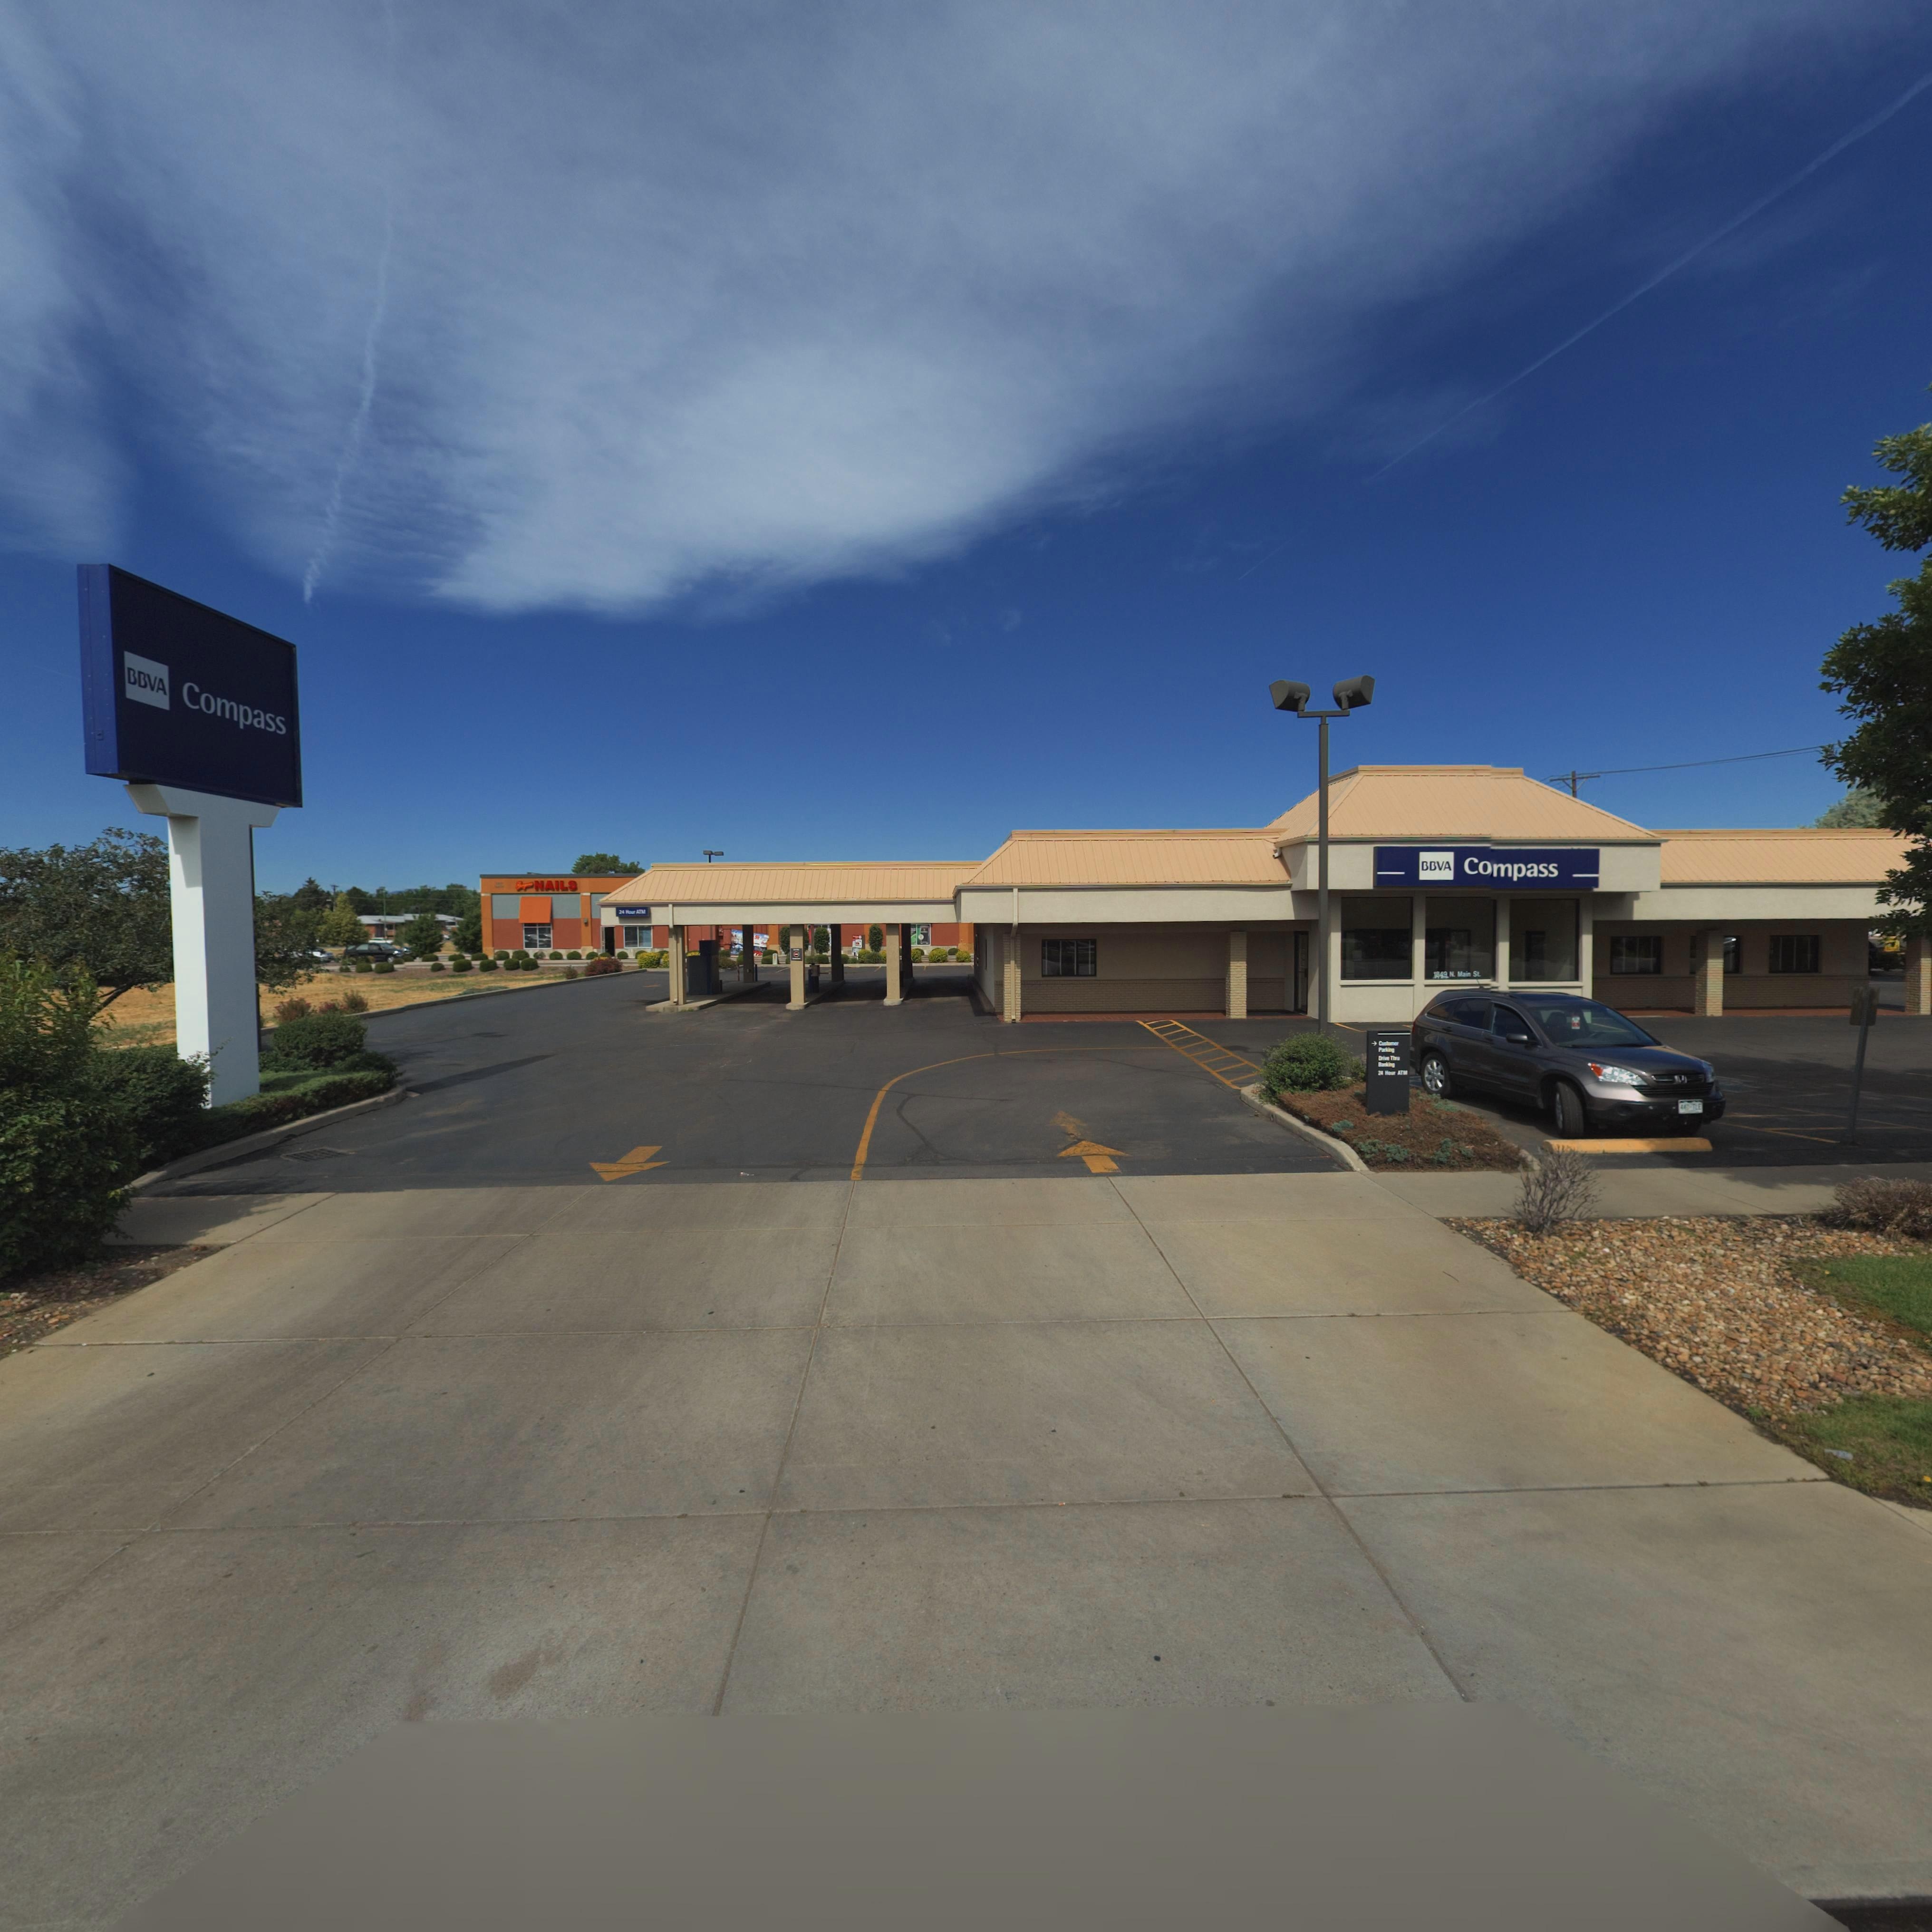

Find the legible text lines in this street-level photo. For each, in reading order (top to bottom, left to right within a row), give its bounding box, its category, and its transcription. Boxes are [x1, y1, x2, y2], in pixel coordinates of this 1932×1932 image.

[181, 682, 287, 735] BusinessName: Compass
[1463, 857, 1558, 882] BusinessName: Compass
[534, 879, 577, 891] BusinessName: NAILS
[1433, 971, 1447, 977] StreetNumber: 1849
[1449, 970, 1479, 977] StreetName: N. Main St